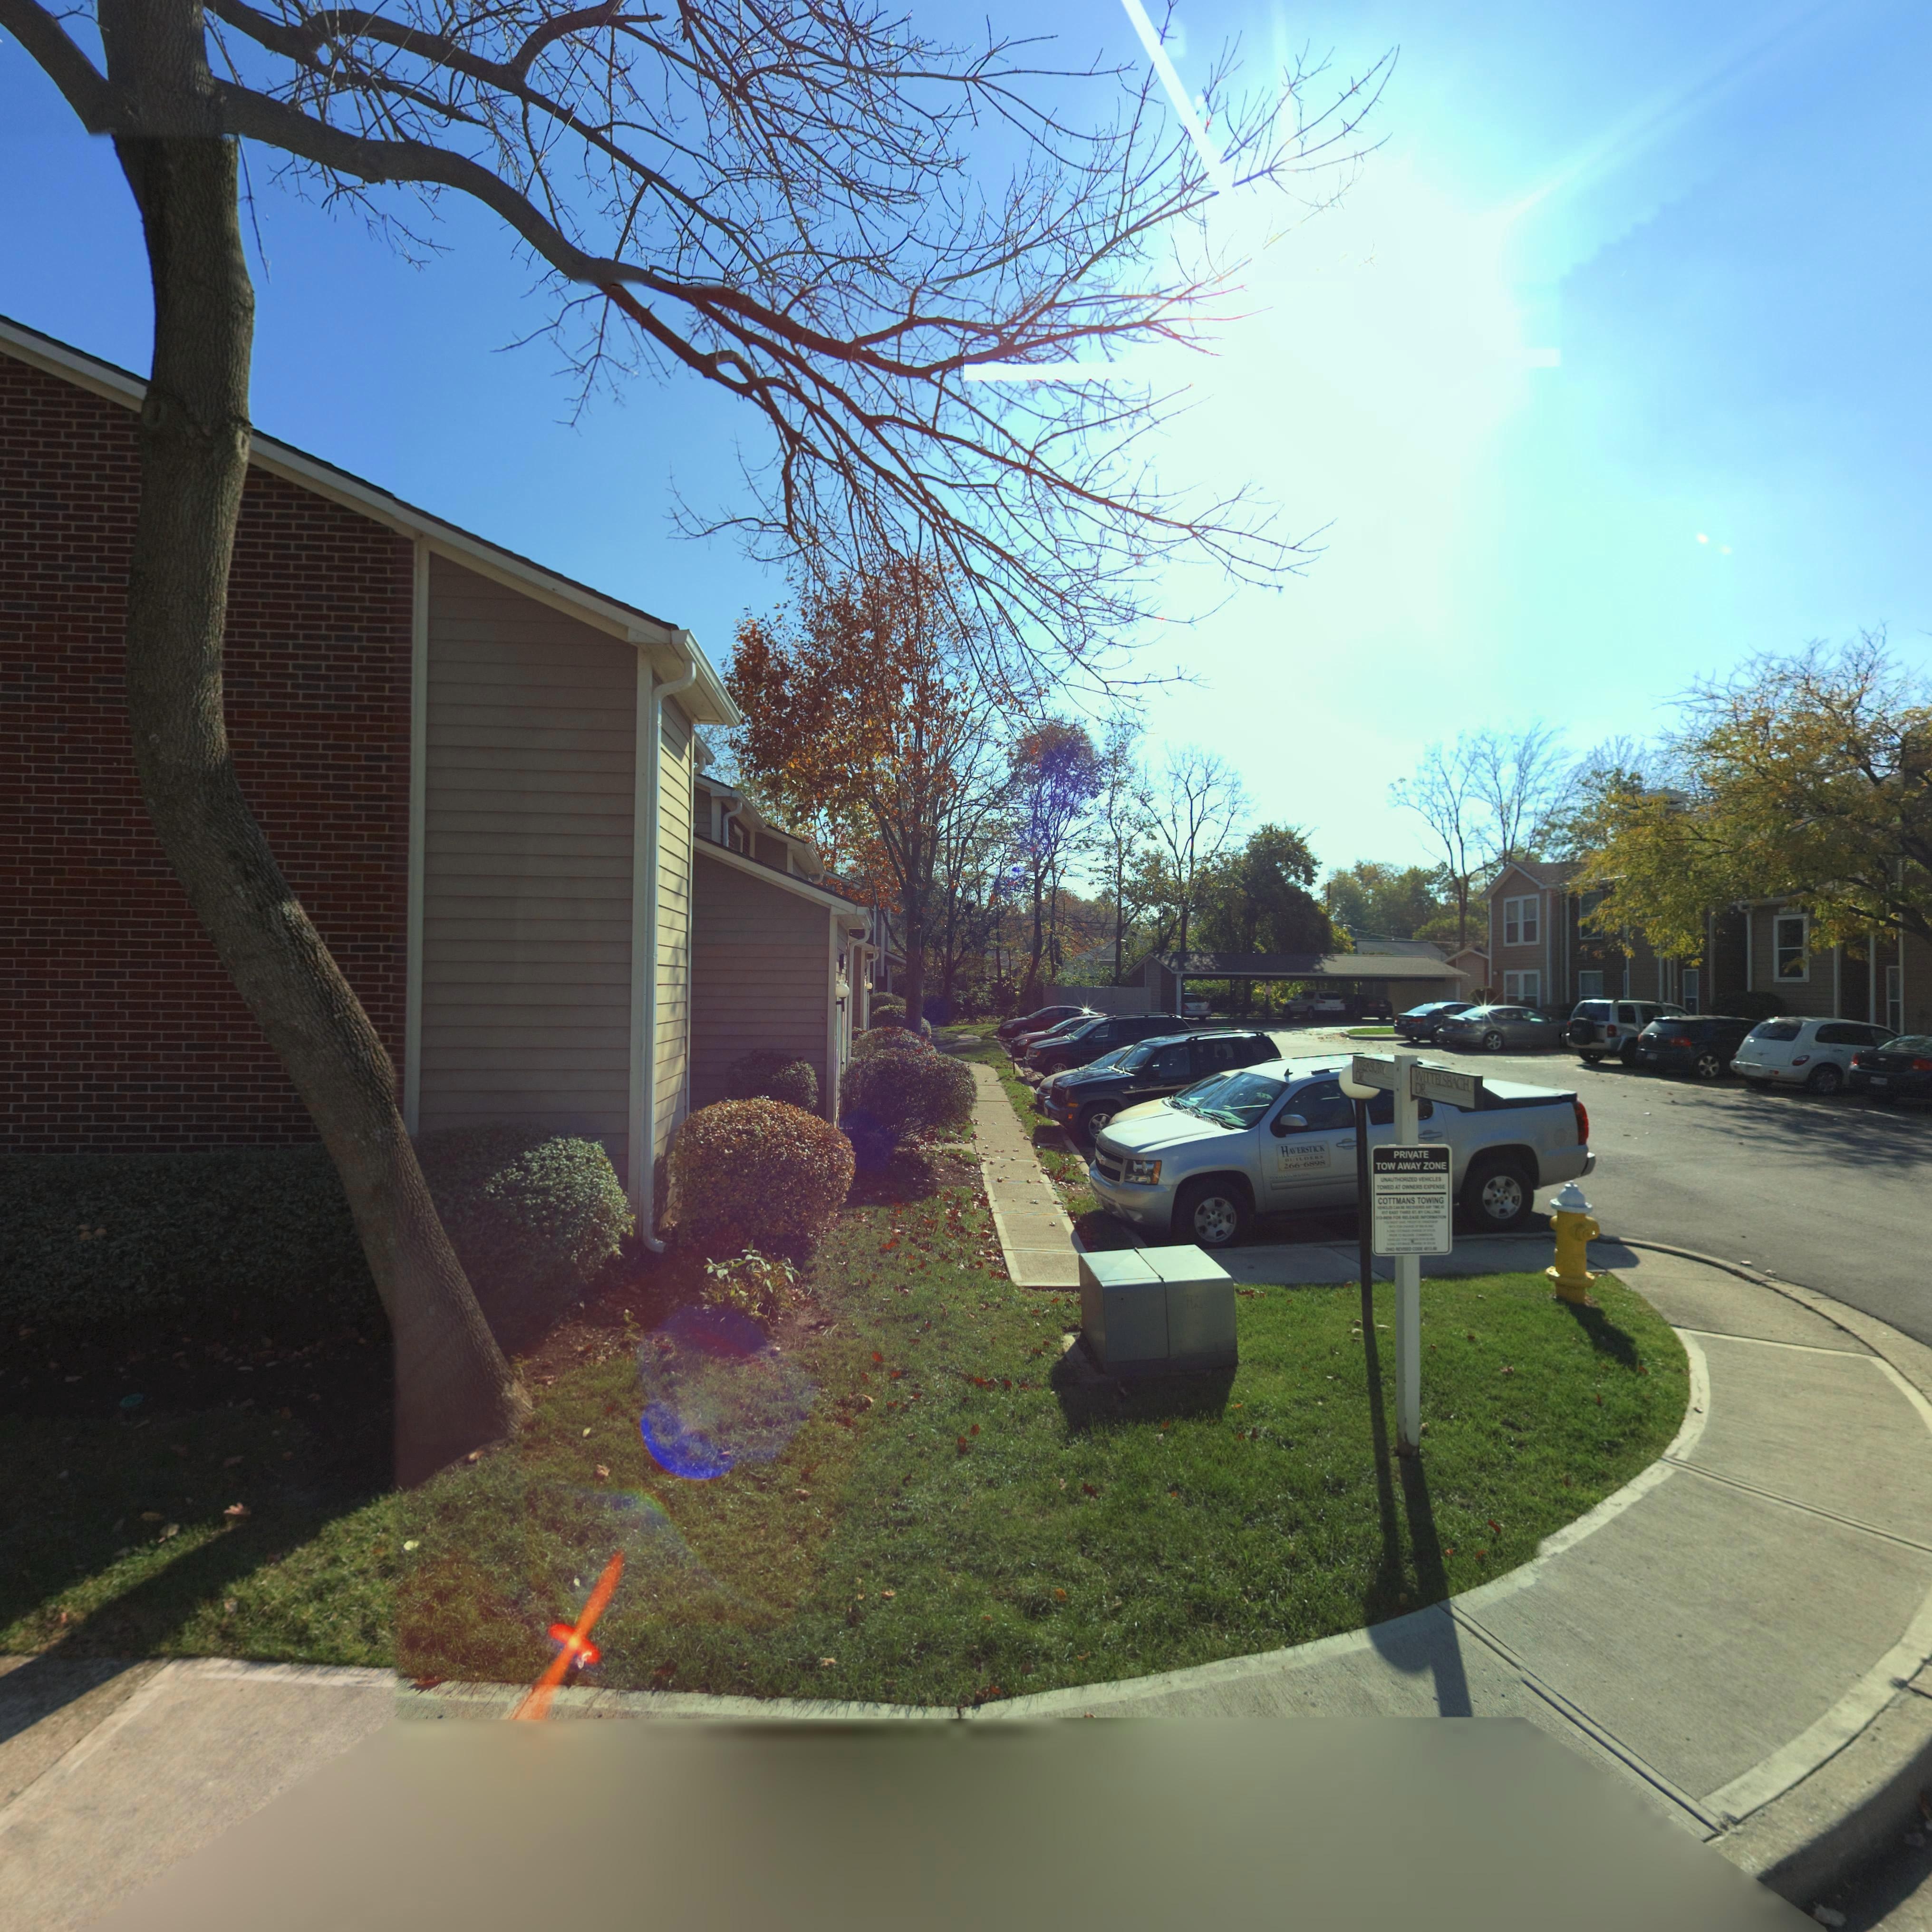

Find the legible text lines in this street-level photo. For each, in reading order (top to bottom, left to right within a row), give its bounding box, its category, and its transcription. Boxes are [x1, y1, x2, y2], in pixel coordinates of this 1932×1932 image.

[1355, 1059, 1387, 1076] StreetName: TREASURY
[1355, 1070, 1364, 1082] StreetName: DR
[1414, 1069, 1470, 1092] StreetName: WITTELSBACH
[1415, 1082, 1426, 1096] StreetName: DR
[1280, 1144, 1325, 1158] None: HAVERSTICK
[1284, 1154, 1324, 1163] None: BUILDERS
[1393, 1150, 1429, 1159] None: PRIVATE
[1283, 1159, 1326, 1169] None: 266-6898
[1375, 1161, 1447, 1170] None: TOW AWAY ZONE
[1380, 1176, 1442, 1182] None: UNAUTHORIZED VEHICLES
[1376, 1184, 1446, 1190] None: TOWED AT OWNERS EXPENSE
[1377, 1197, 1444, 1205] None: COTTMANS TOWING
[1388, 1210, 1399, 1215] None: EAST
[1392, 1215, 1447, 1220] None: FOR RELEASE INFORMATION
[1395, 1246, 1423, 1252] None: REVISED CODE